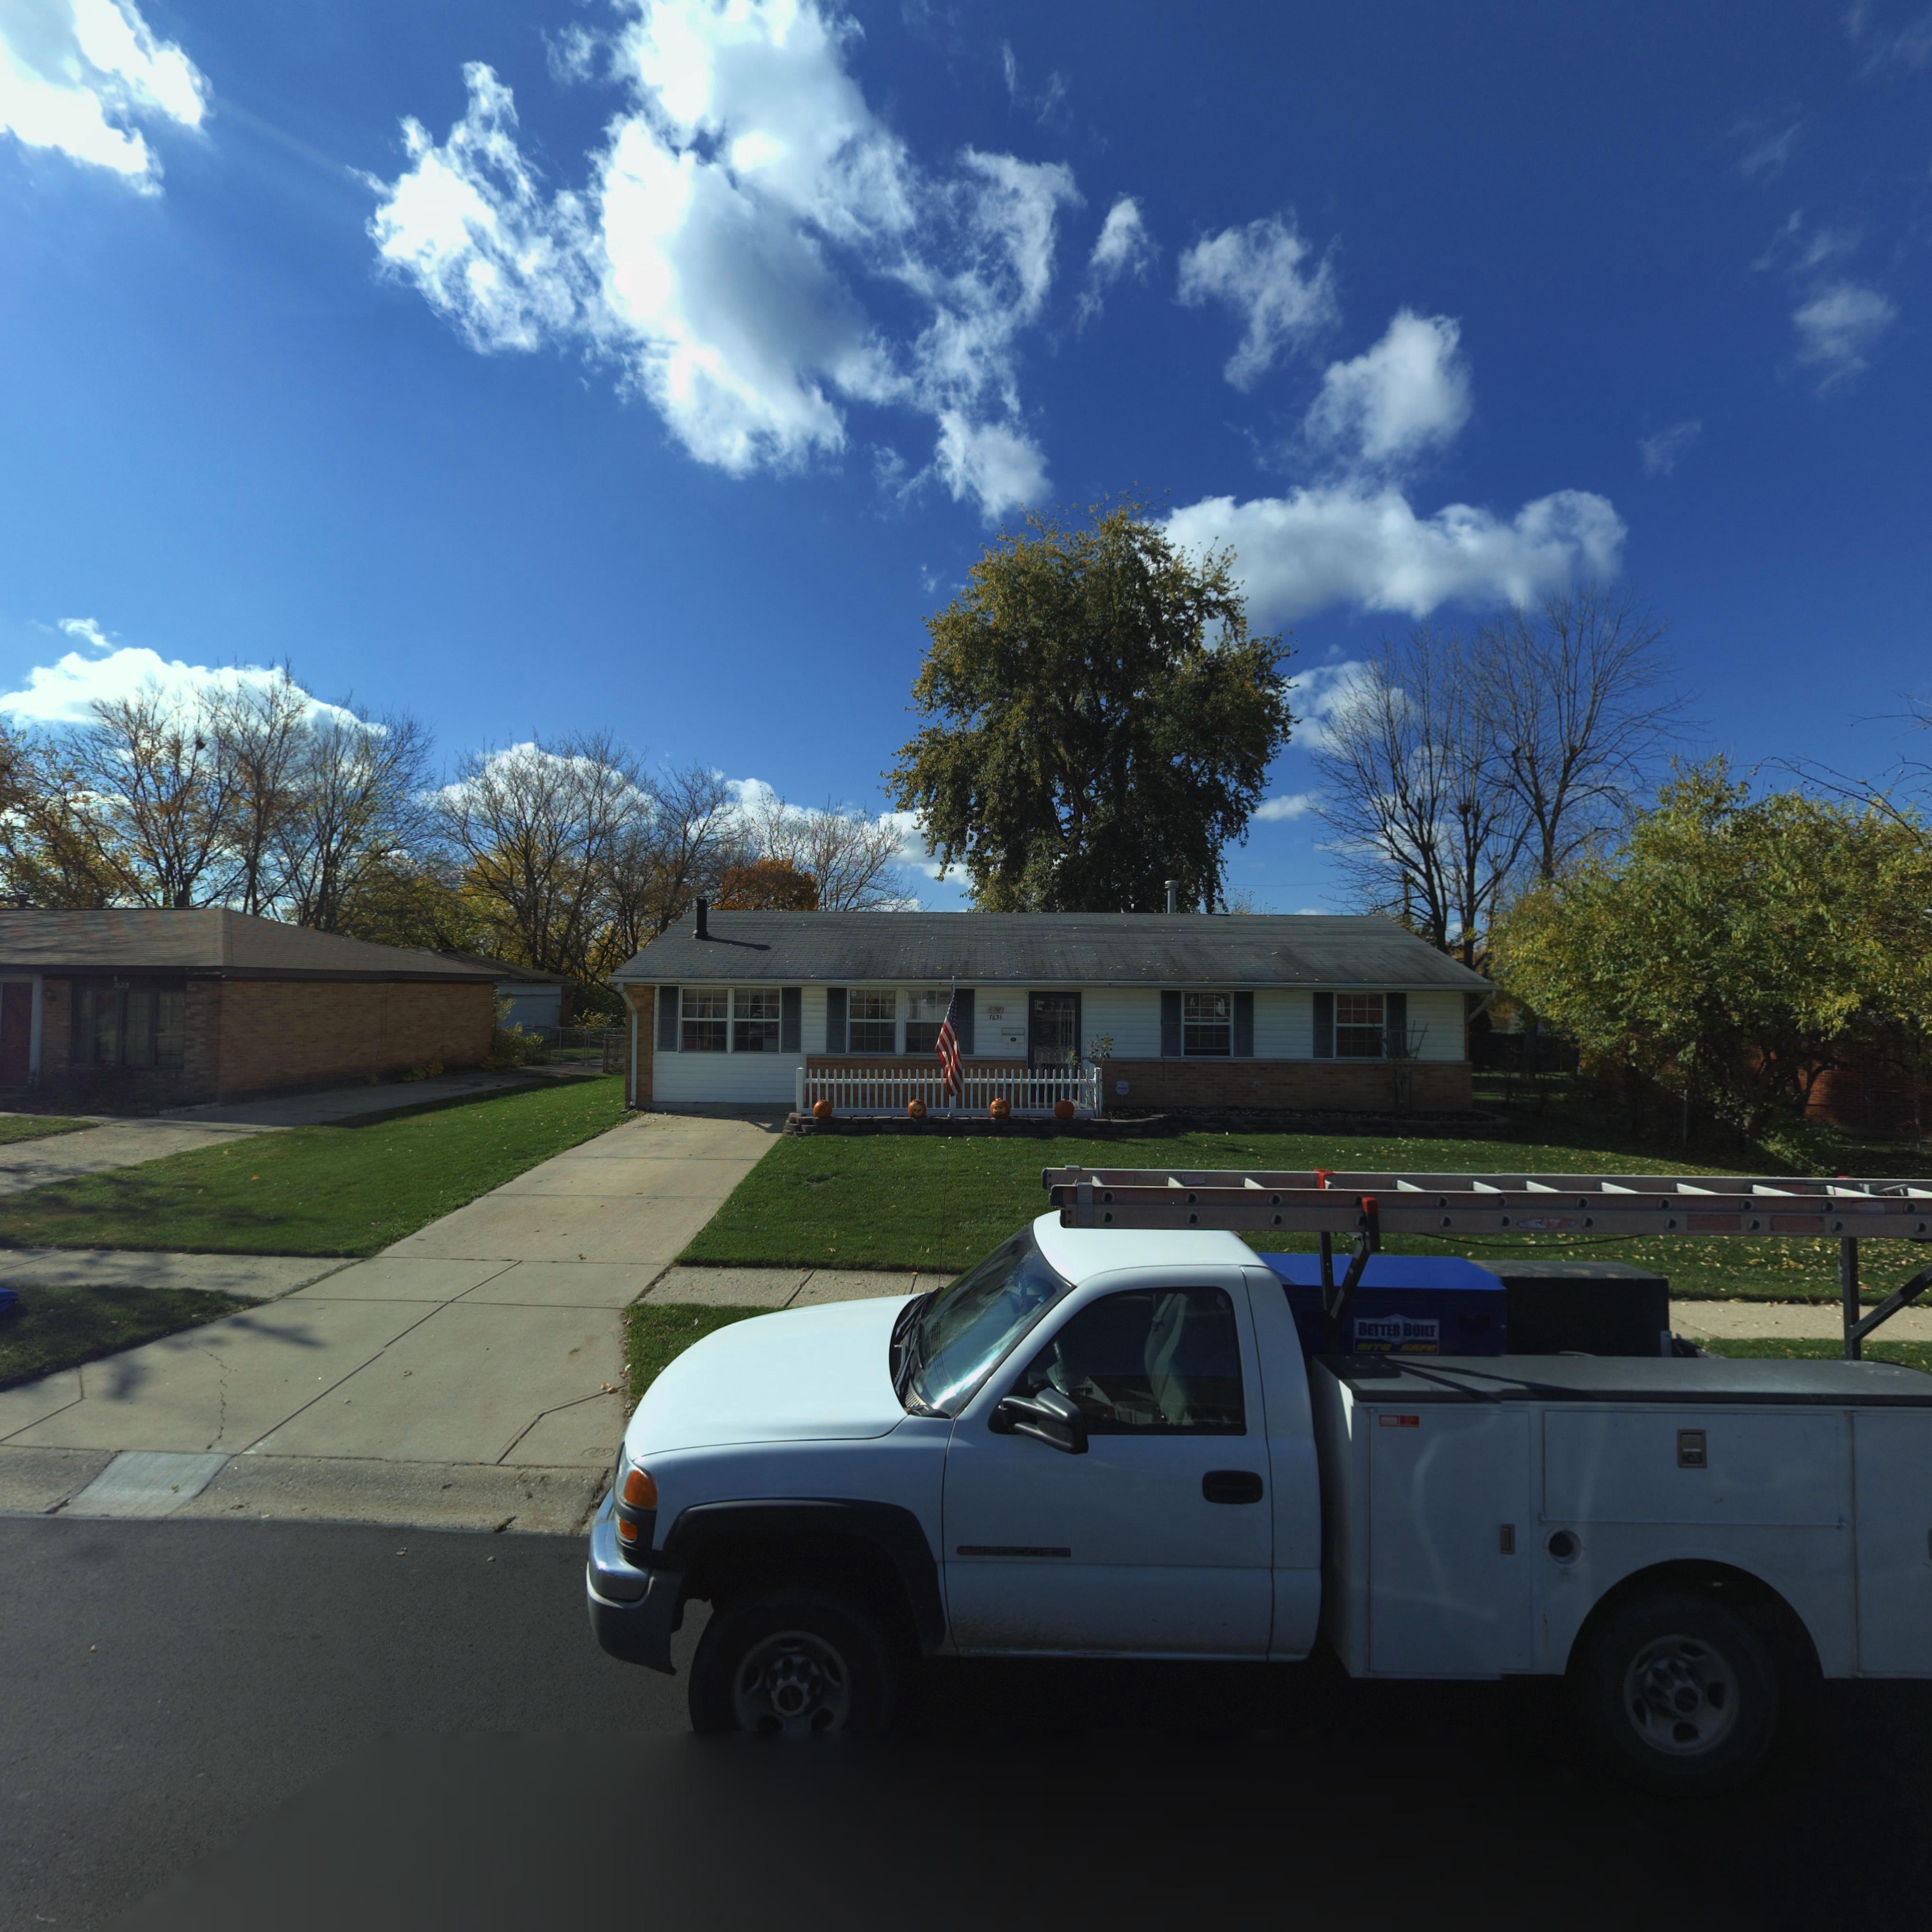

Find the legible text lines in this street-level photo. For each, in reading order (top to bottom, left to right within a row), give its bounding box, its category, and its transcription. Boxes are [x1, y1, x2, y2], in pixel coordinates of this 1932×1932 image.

[113, 982, 130, 989] StreetNumber: 7*25
[1000, 1007, 1005, 1014] StreetNumber: 1
[989, 1014, 1003, 1021] StreetNumber: 7631